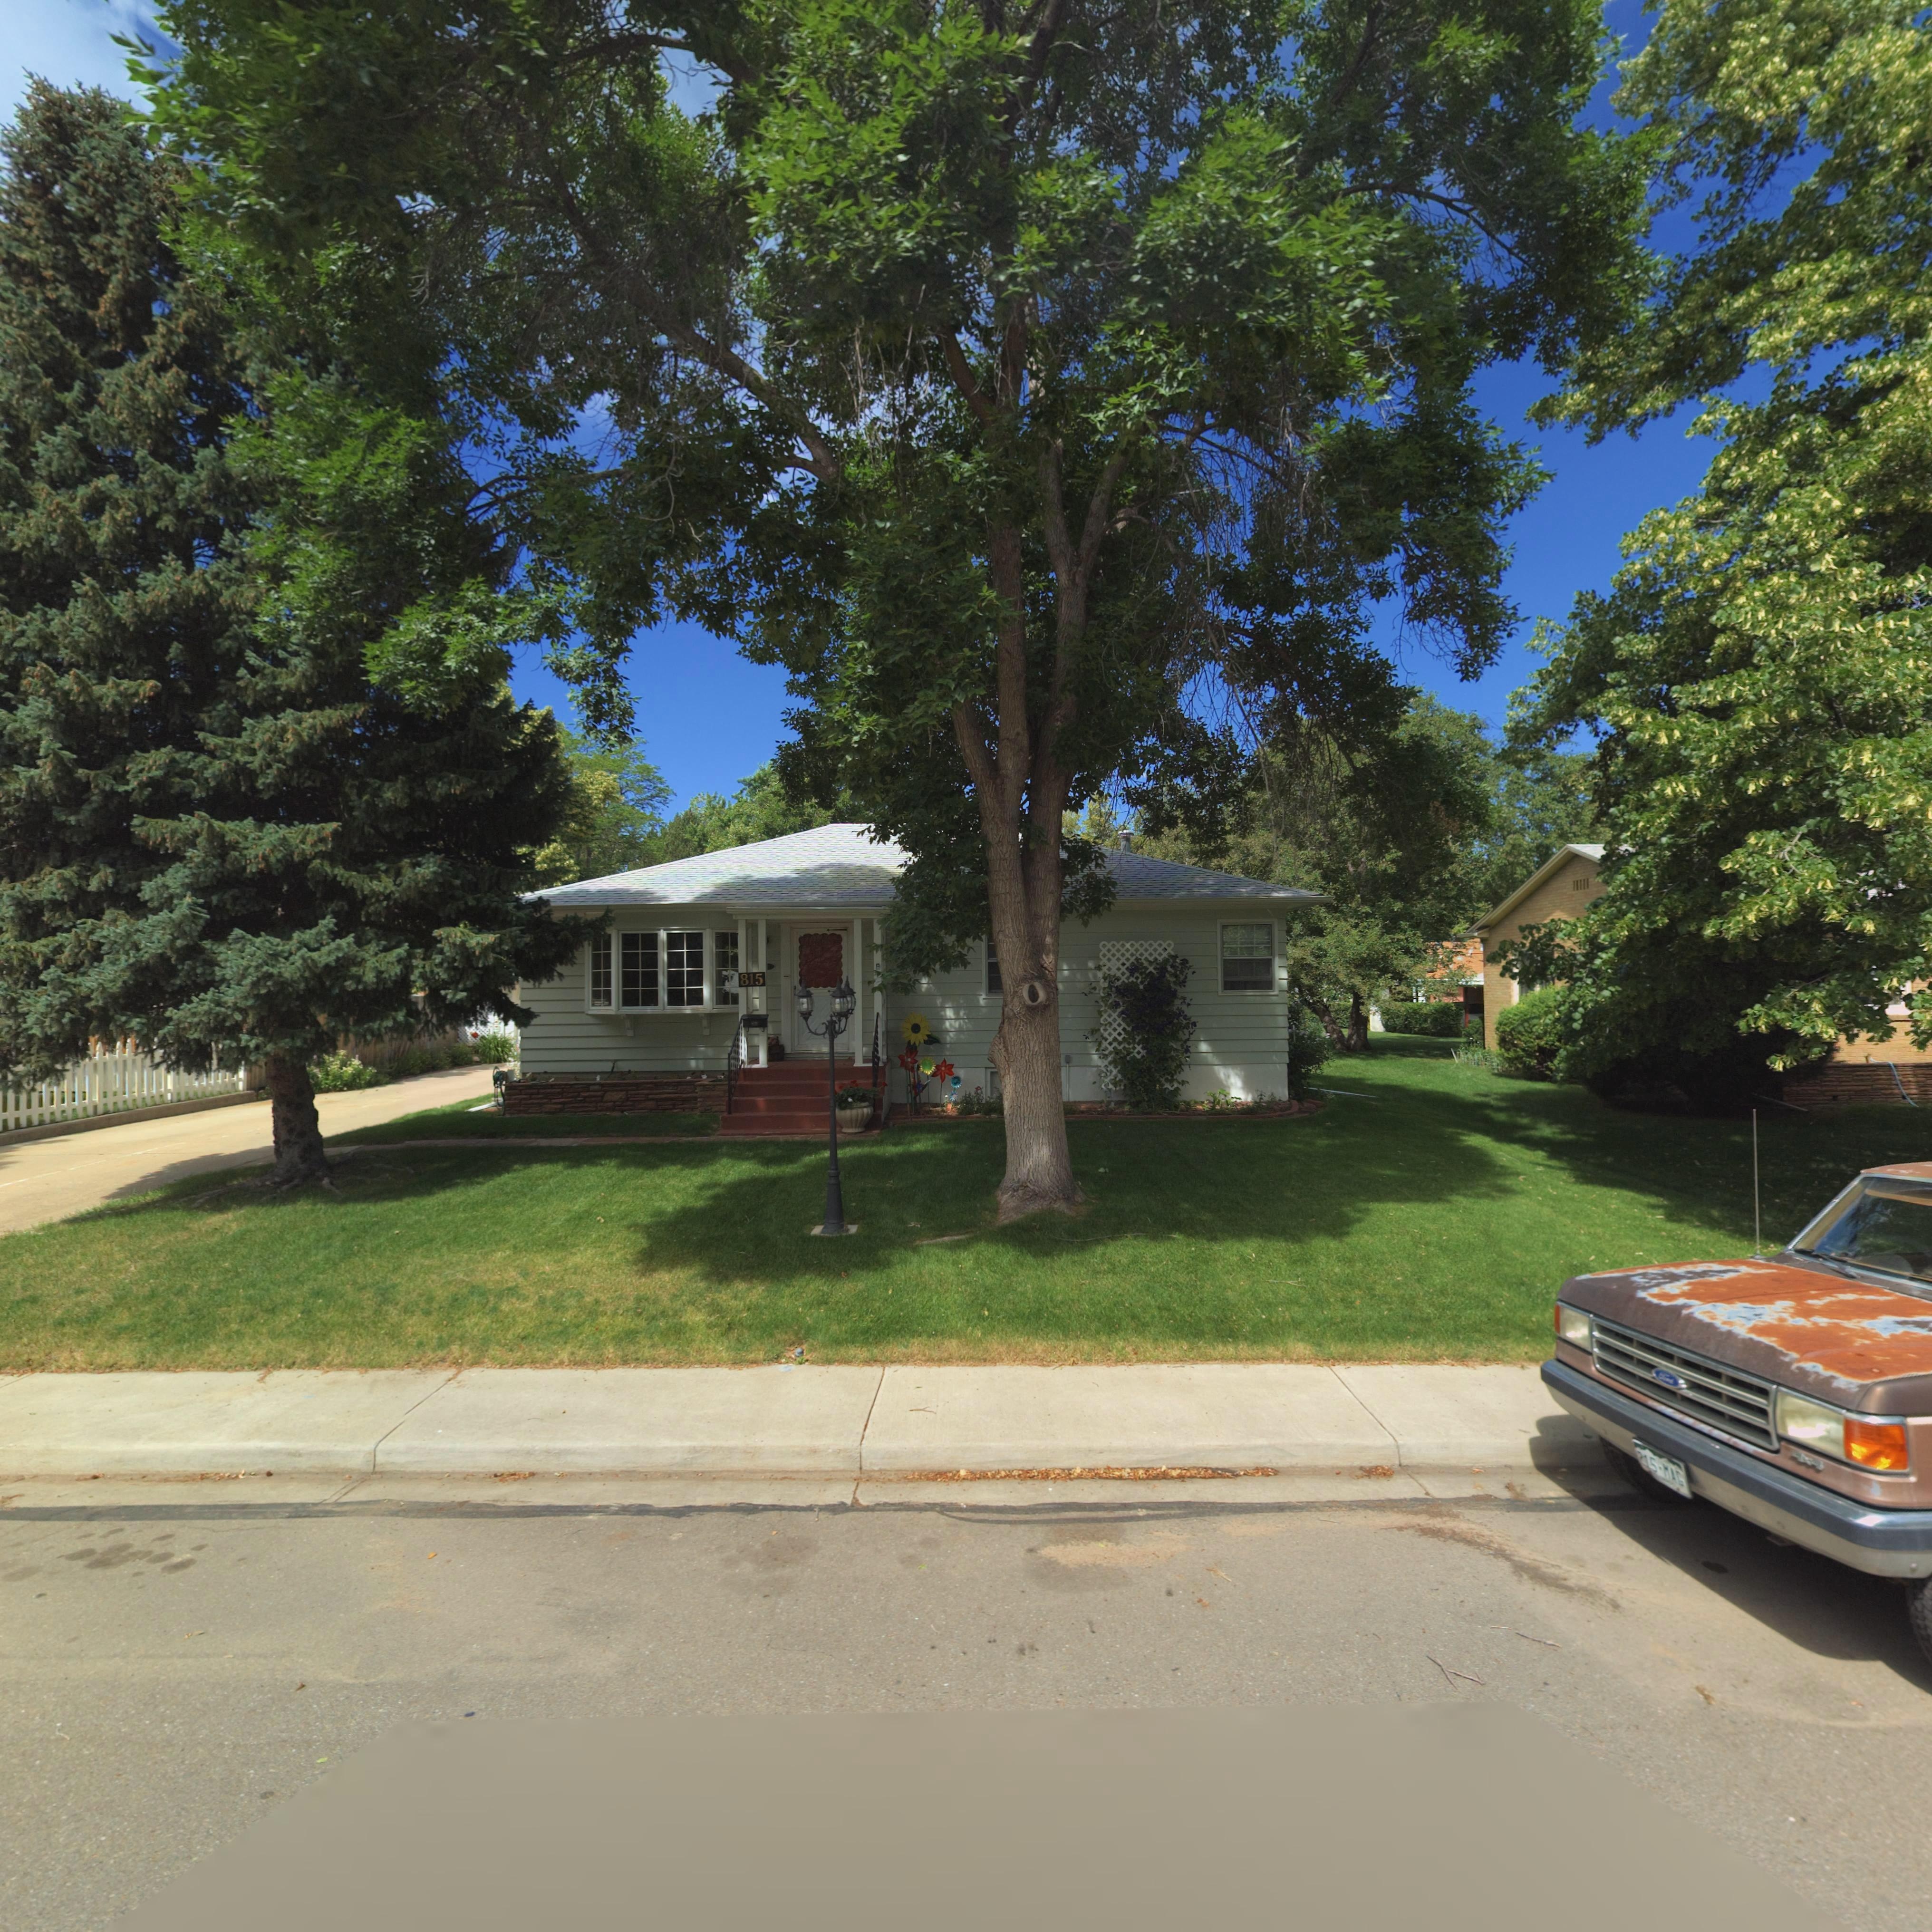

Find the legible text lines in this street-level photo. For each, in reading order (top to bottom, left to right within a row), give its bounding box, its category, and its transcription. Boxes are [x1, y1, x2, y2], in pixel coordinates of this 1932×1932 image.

[740, 973, 763, 985] StreetNumber: 815